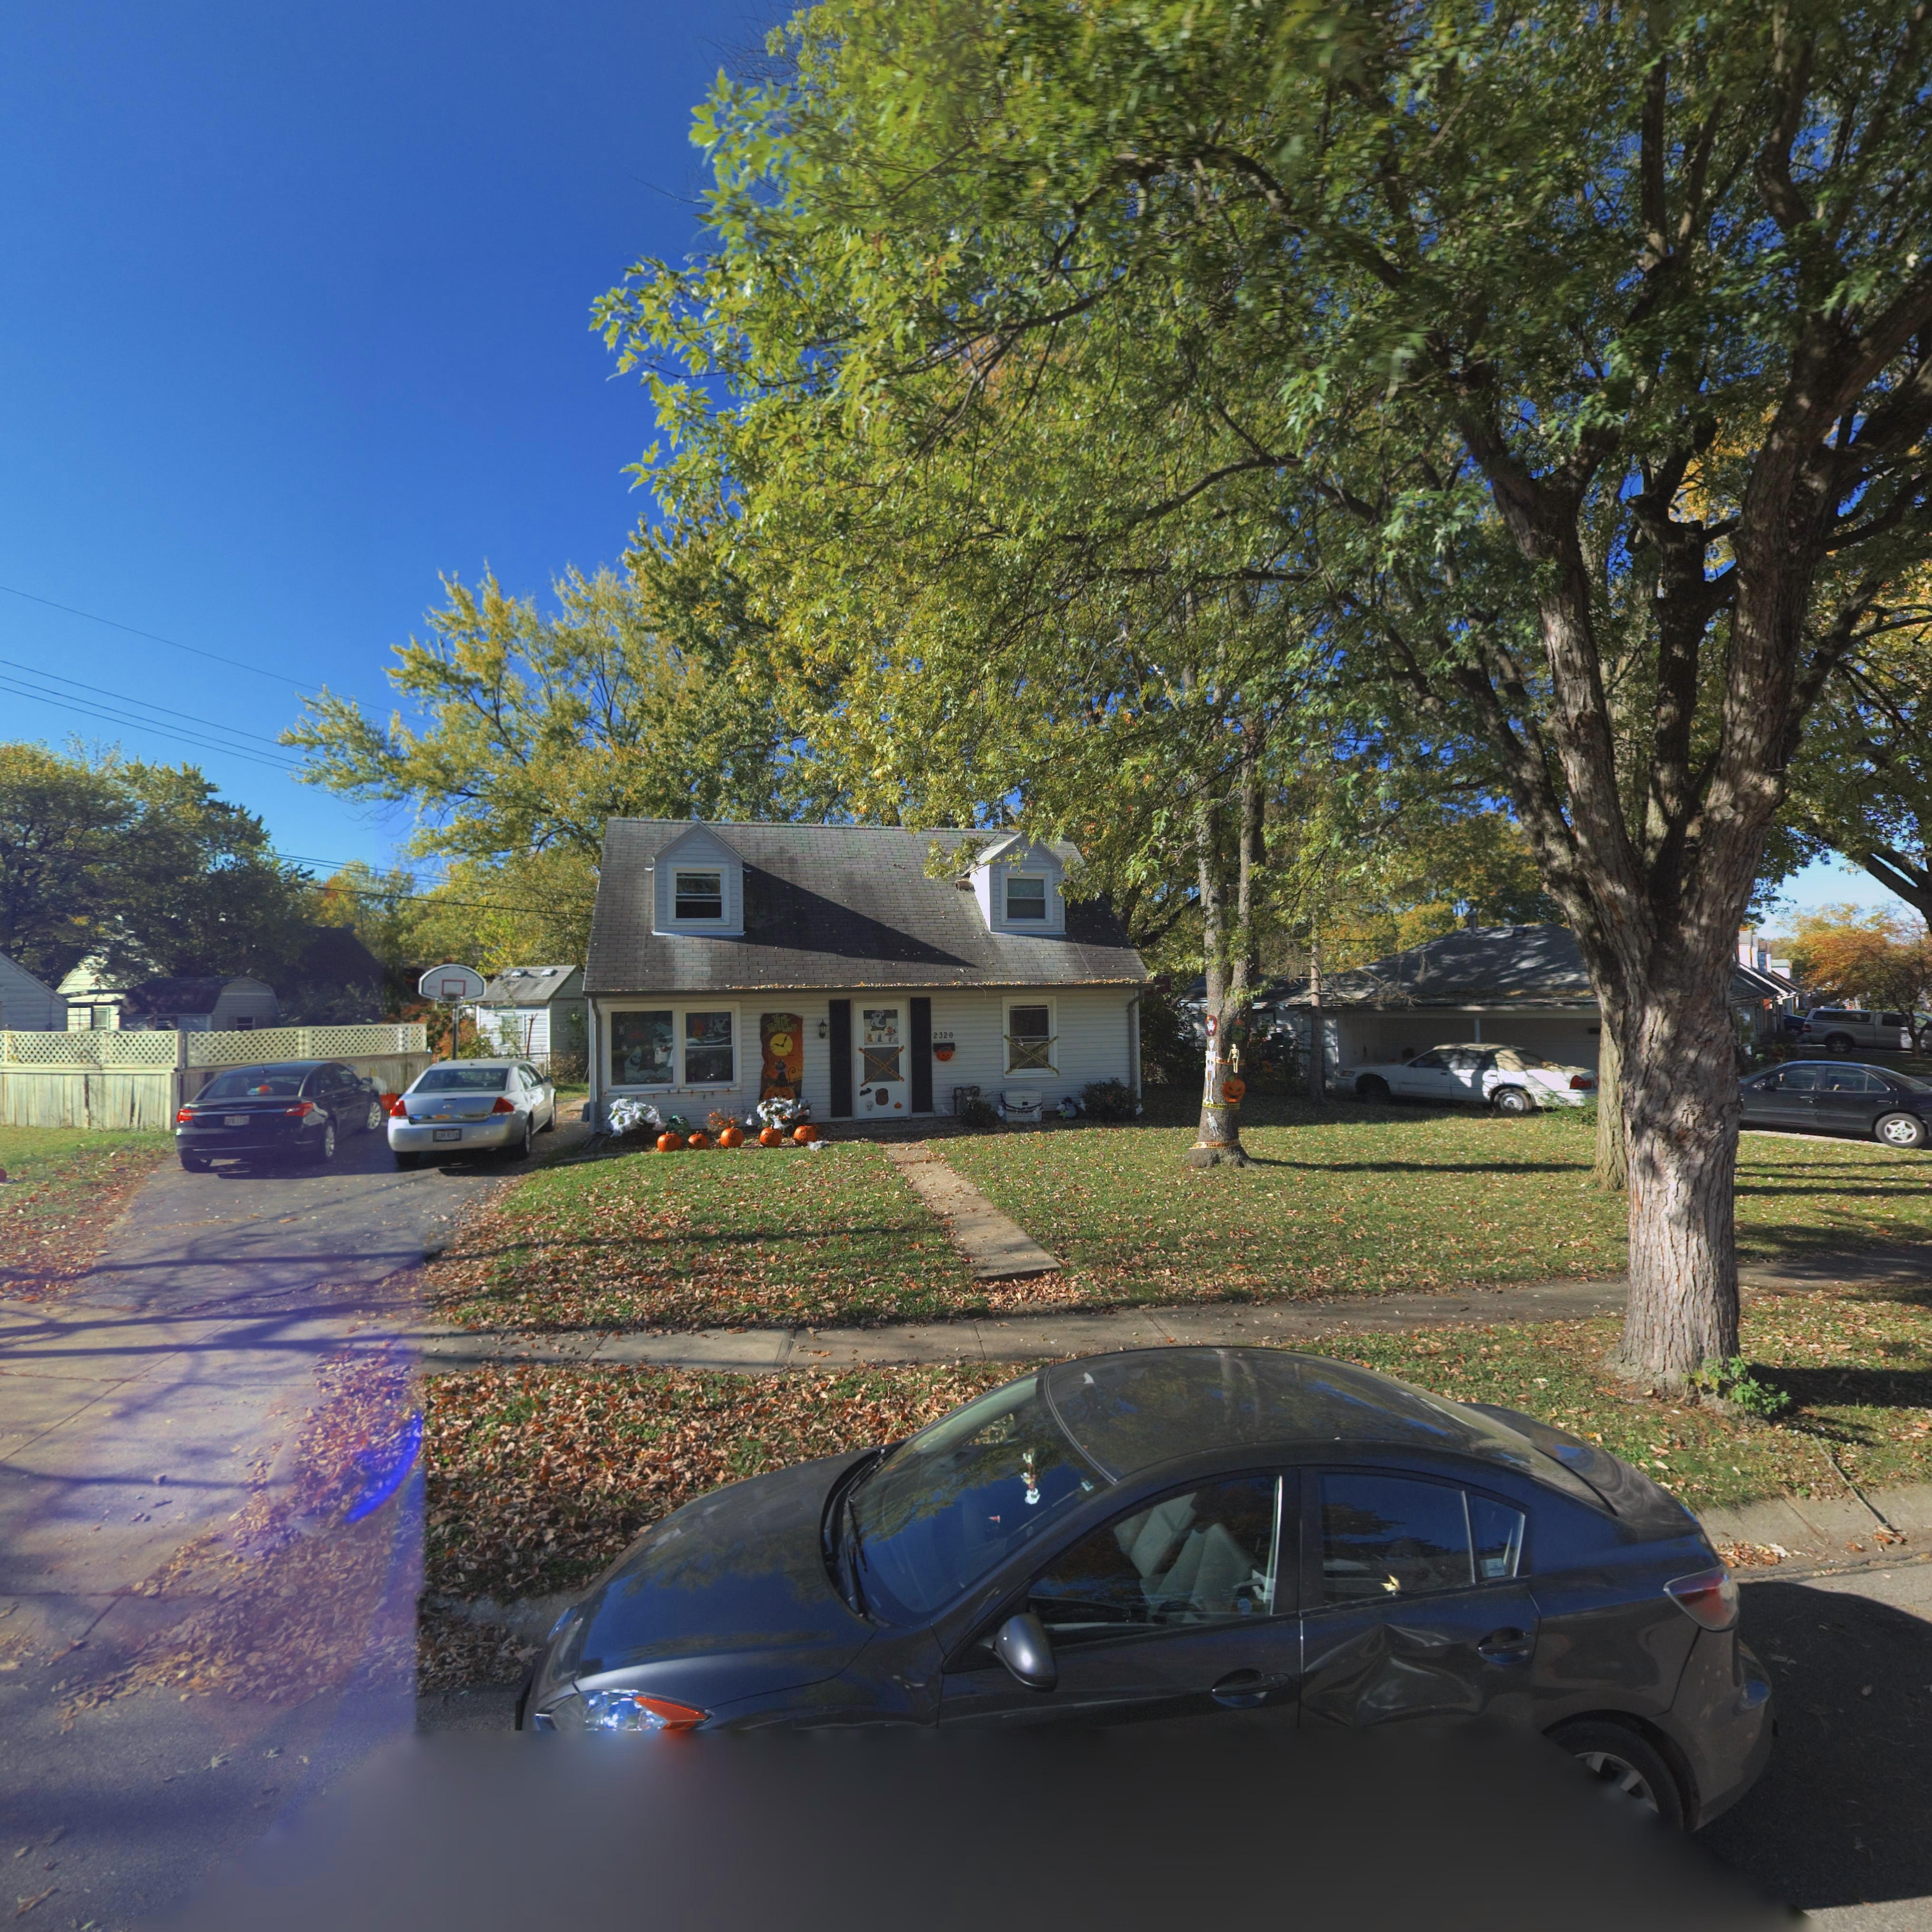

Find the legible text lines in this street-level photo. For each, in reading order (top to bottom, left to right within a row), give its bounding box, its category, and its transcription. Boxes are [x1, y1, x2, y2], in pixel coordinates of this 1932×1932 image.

[933, 1031, 954, 1039] StreetNumber: 2320